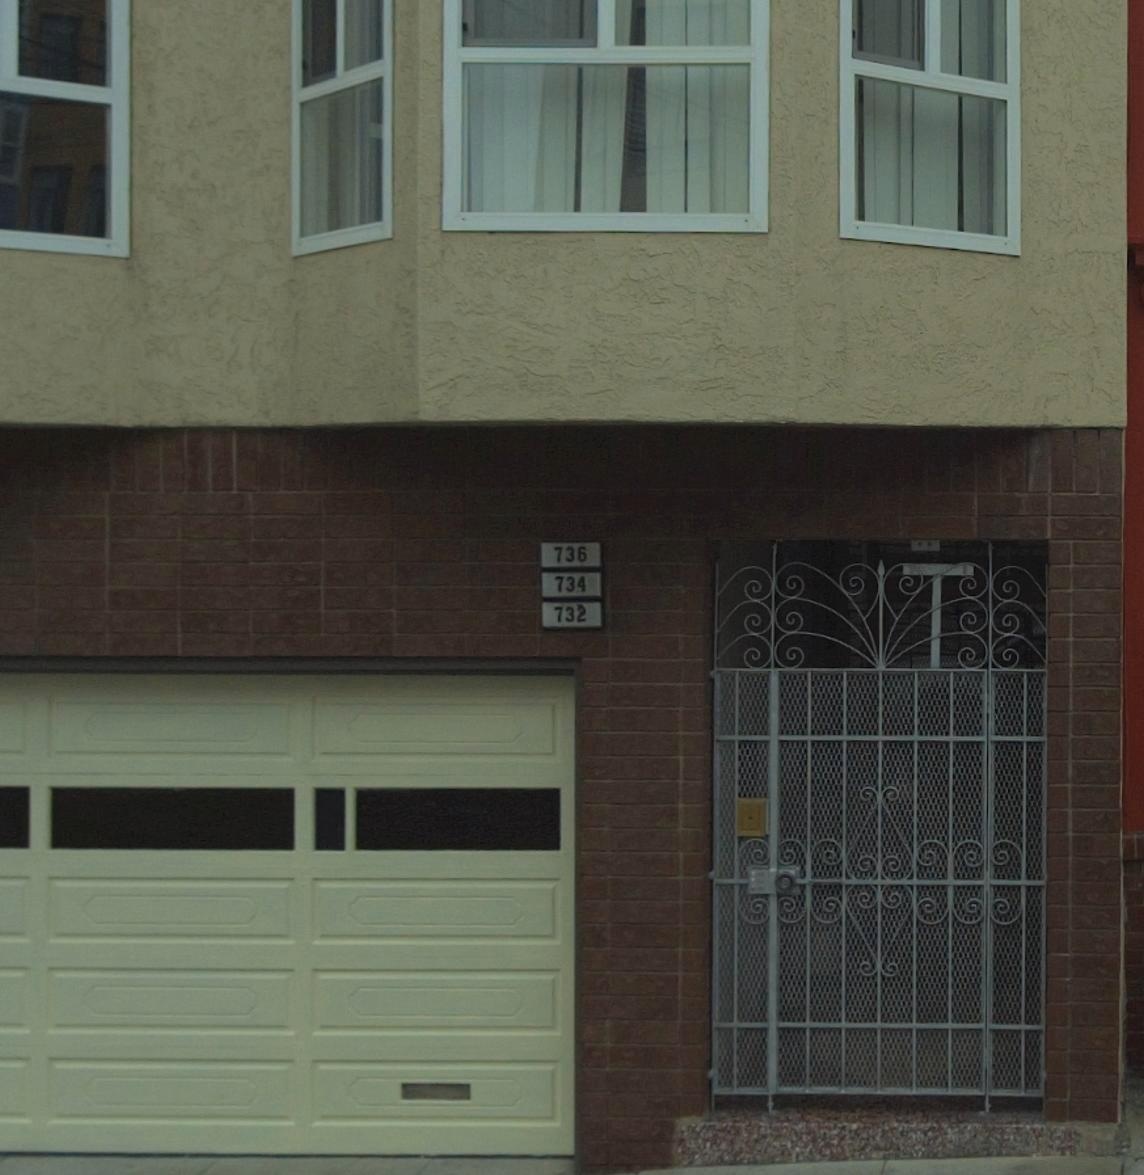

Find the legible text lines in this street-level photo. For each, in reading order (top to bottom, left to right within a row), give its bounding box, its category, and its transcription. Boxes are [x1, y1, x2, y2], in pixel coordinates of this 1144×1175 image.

[552, 544, 589, 564] StreetNumber: 736
[553, 573, 589, 594] StreetNumber: 734
[552, 602, 590, 624] StreetNumber: 732